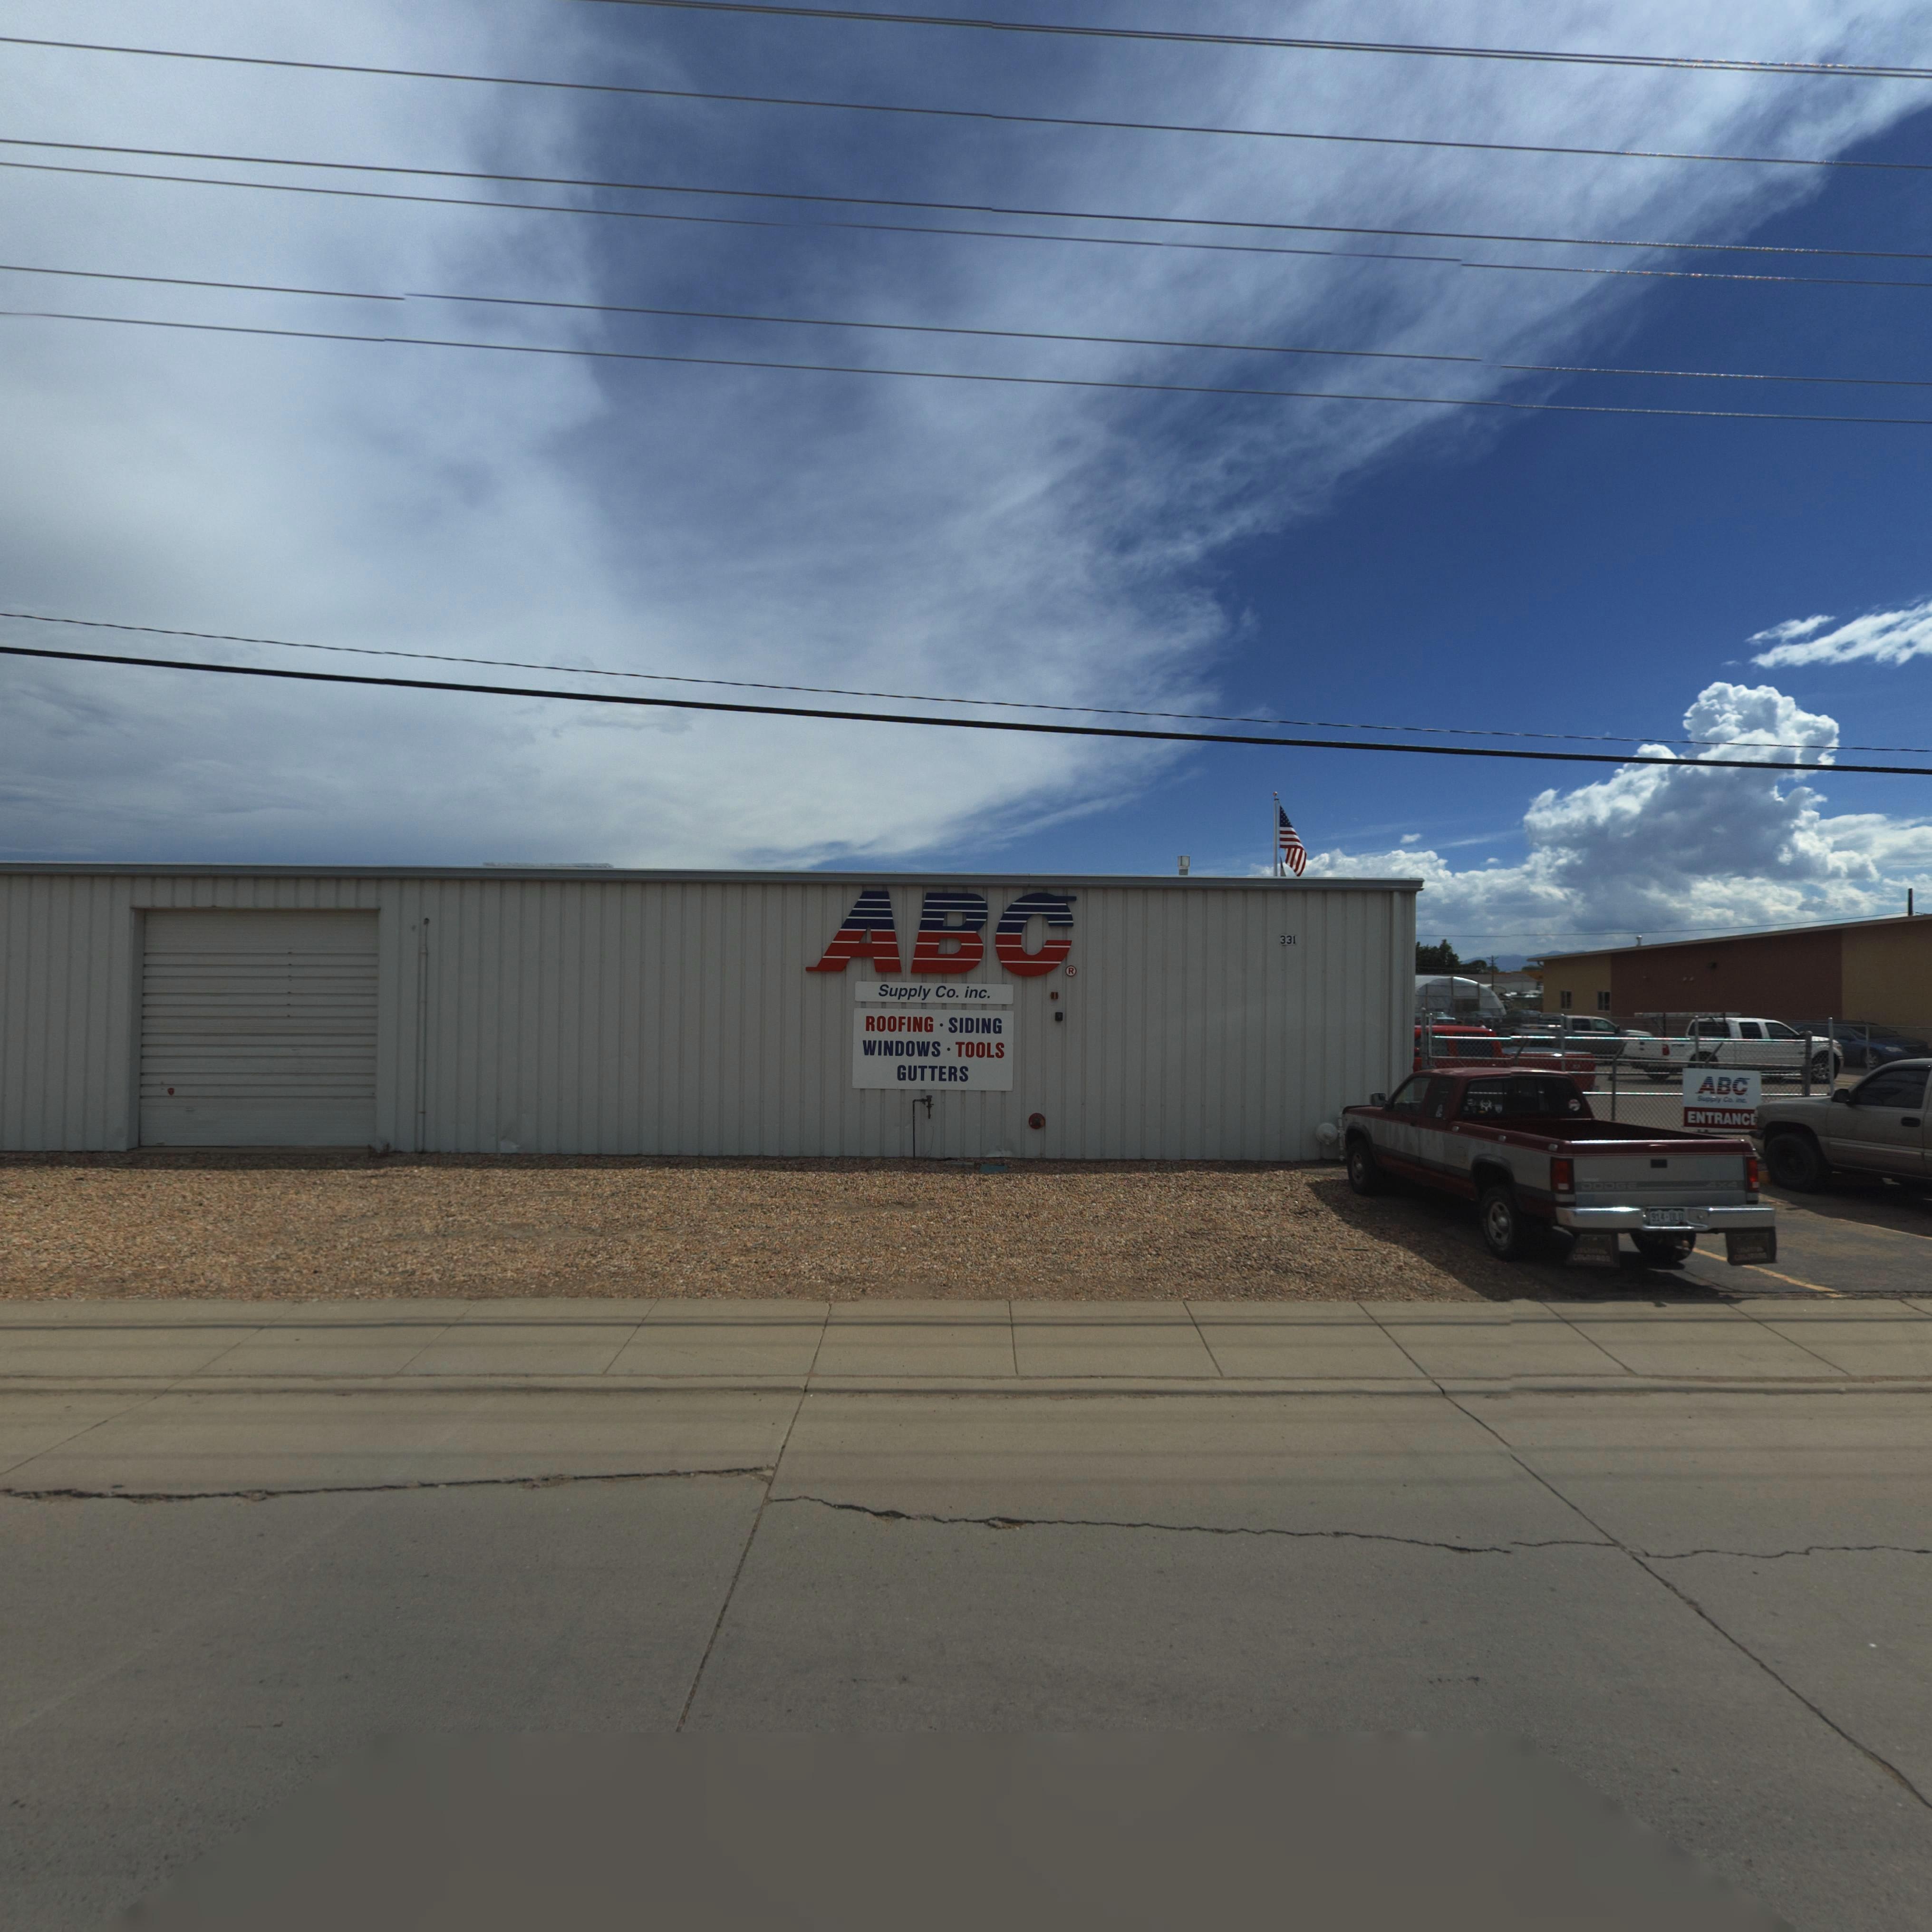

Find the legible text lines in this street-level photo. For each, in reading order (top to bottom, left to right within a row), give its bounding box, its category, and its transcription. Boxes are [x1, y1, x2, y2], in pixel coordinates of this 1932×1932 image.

[801, 889, 1076, 979] BusinessName: ABC
[1279, 935, 1295, 944] StreetNumber: 331
[877, 983, 990, 1001] BusinessName: Supply Co. inc.
[1696, 1075, 1748, 1096] BusinessName: ABC
[1696, 1095, 1748, 1104] BusinessName: Supply Co. inc.